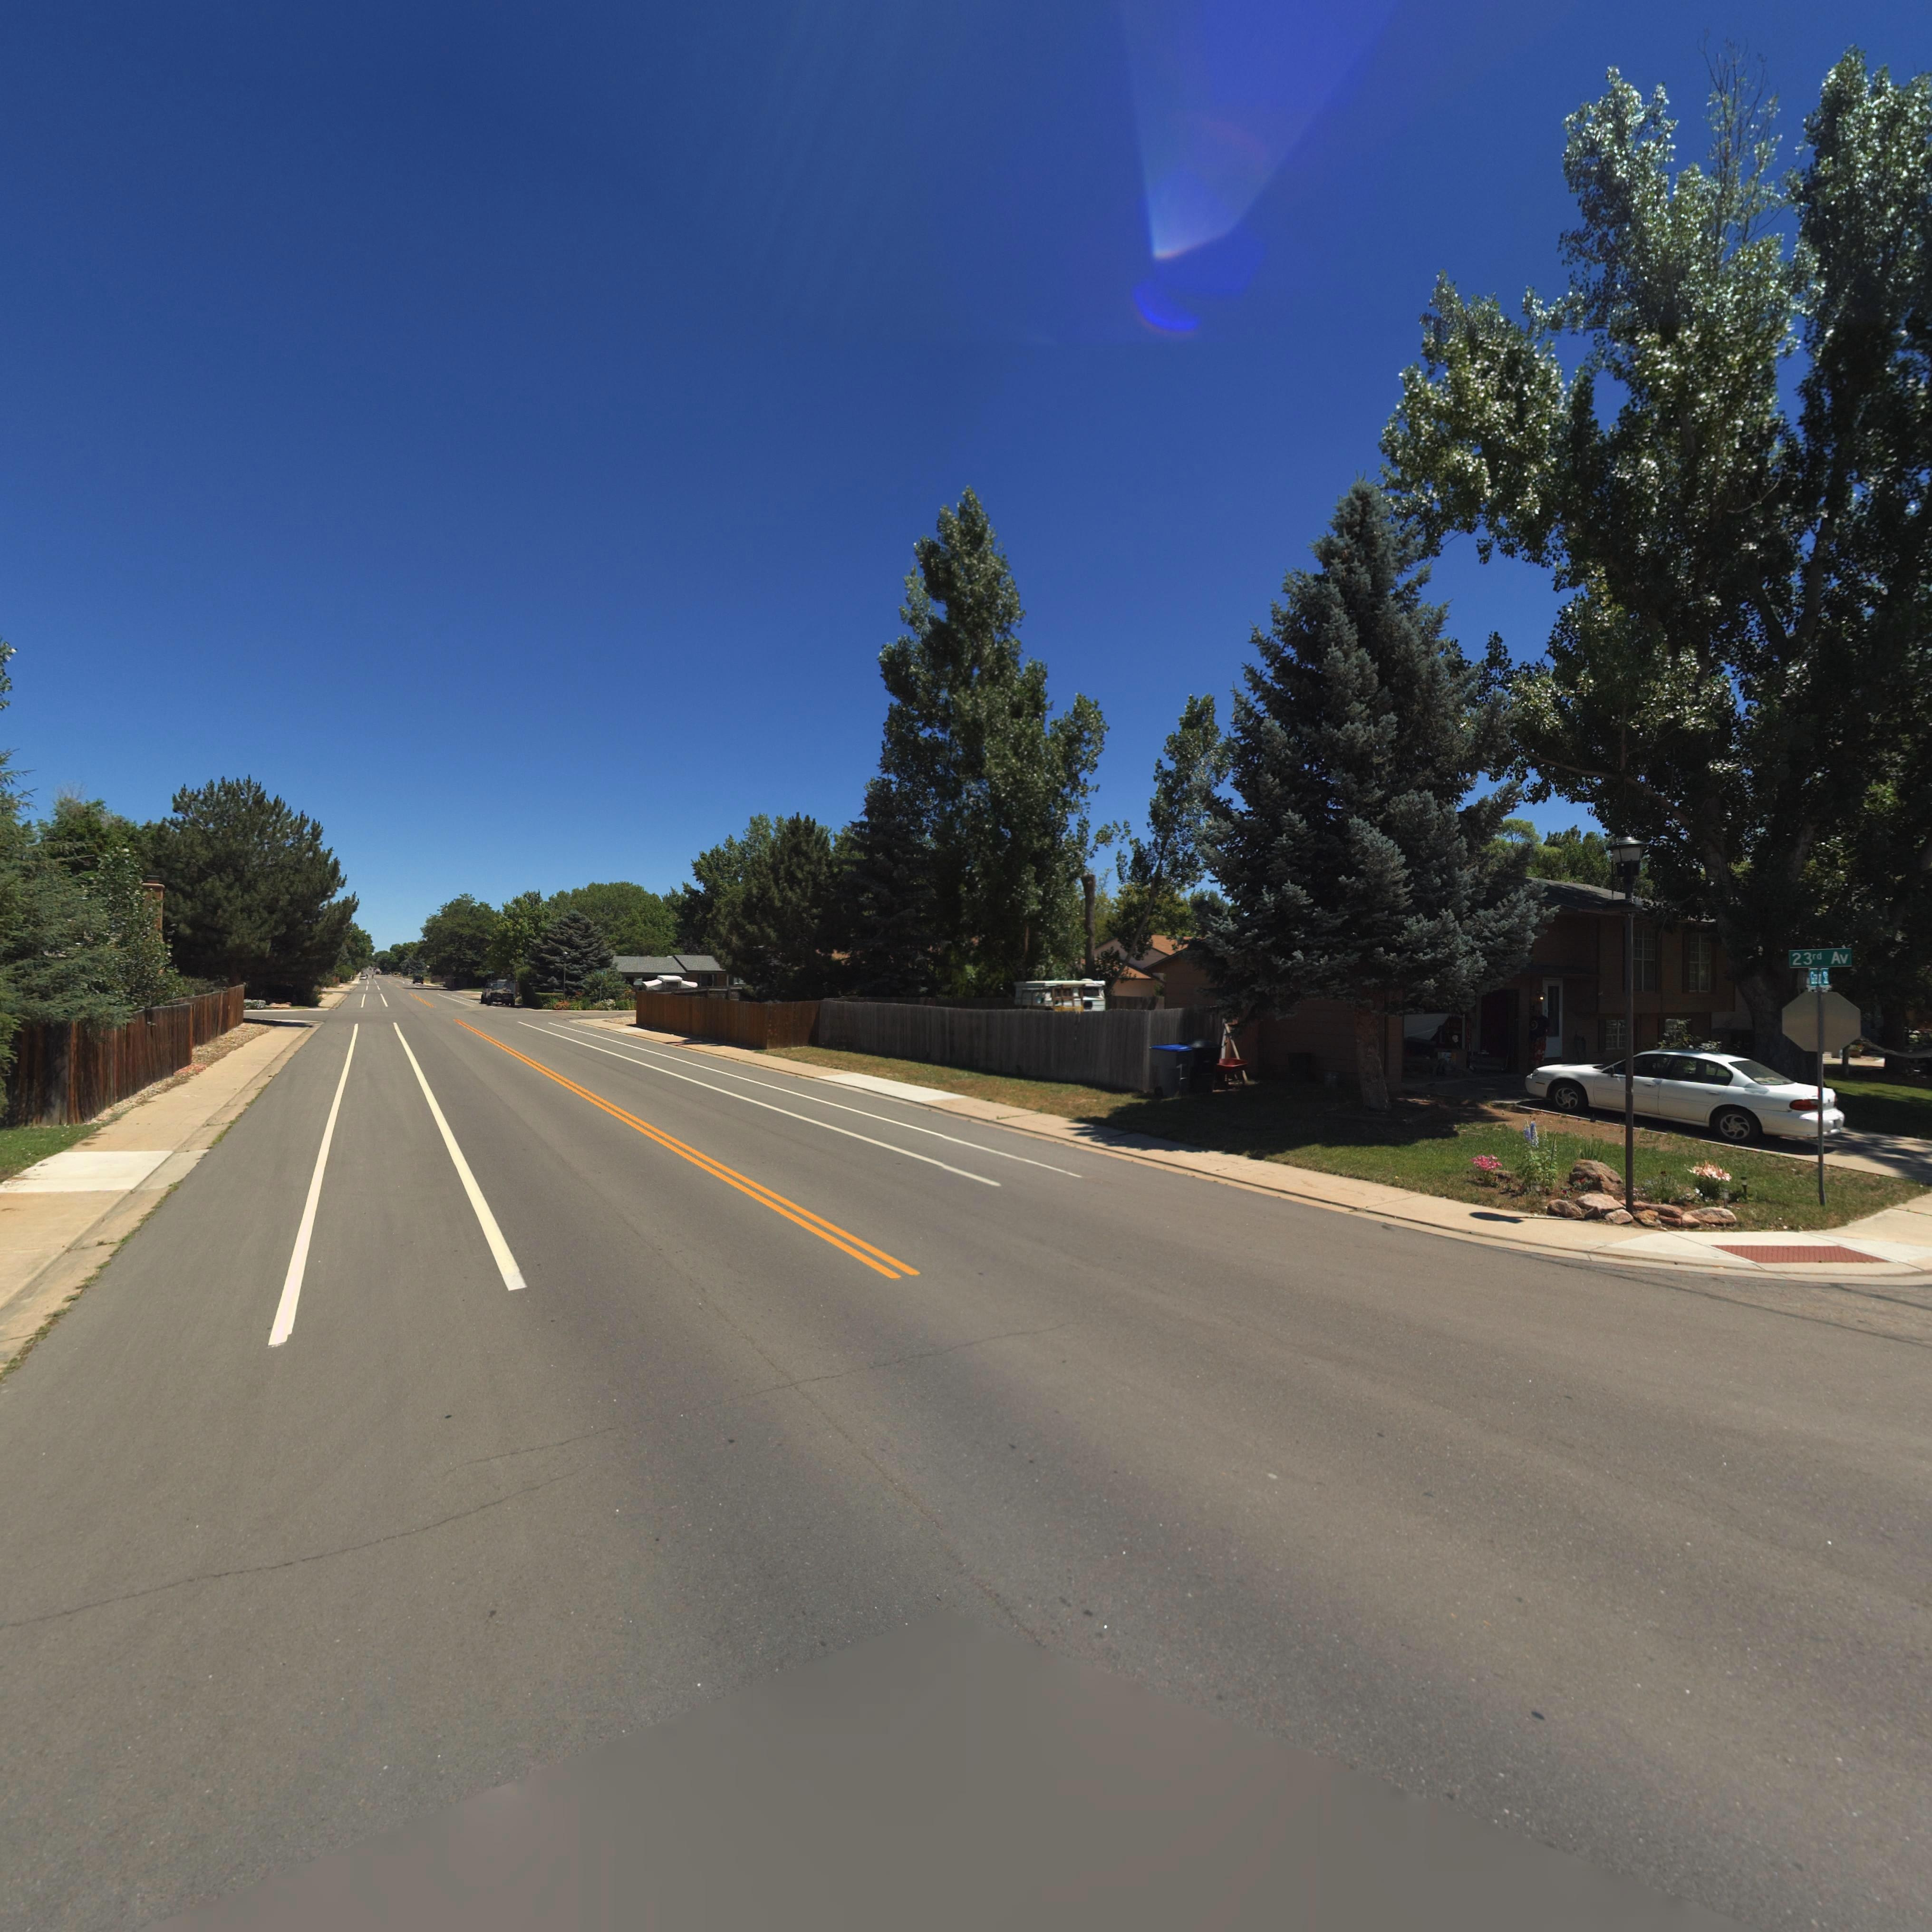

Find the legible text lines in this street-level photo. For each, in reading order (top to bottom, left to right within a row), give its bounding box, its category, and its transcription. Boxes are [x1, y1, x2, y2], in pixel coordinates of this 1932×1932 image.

[1791, 951, 1848, 966] StreetName: 23rd Av
[1811, 971, 1829, 984] StreetName: G*a****